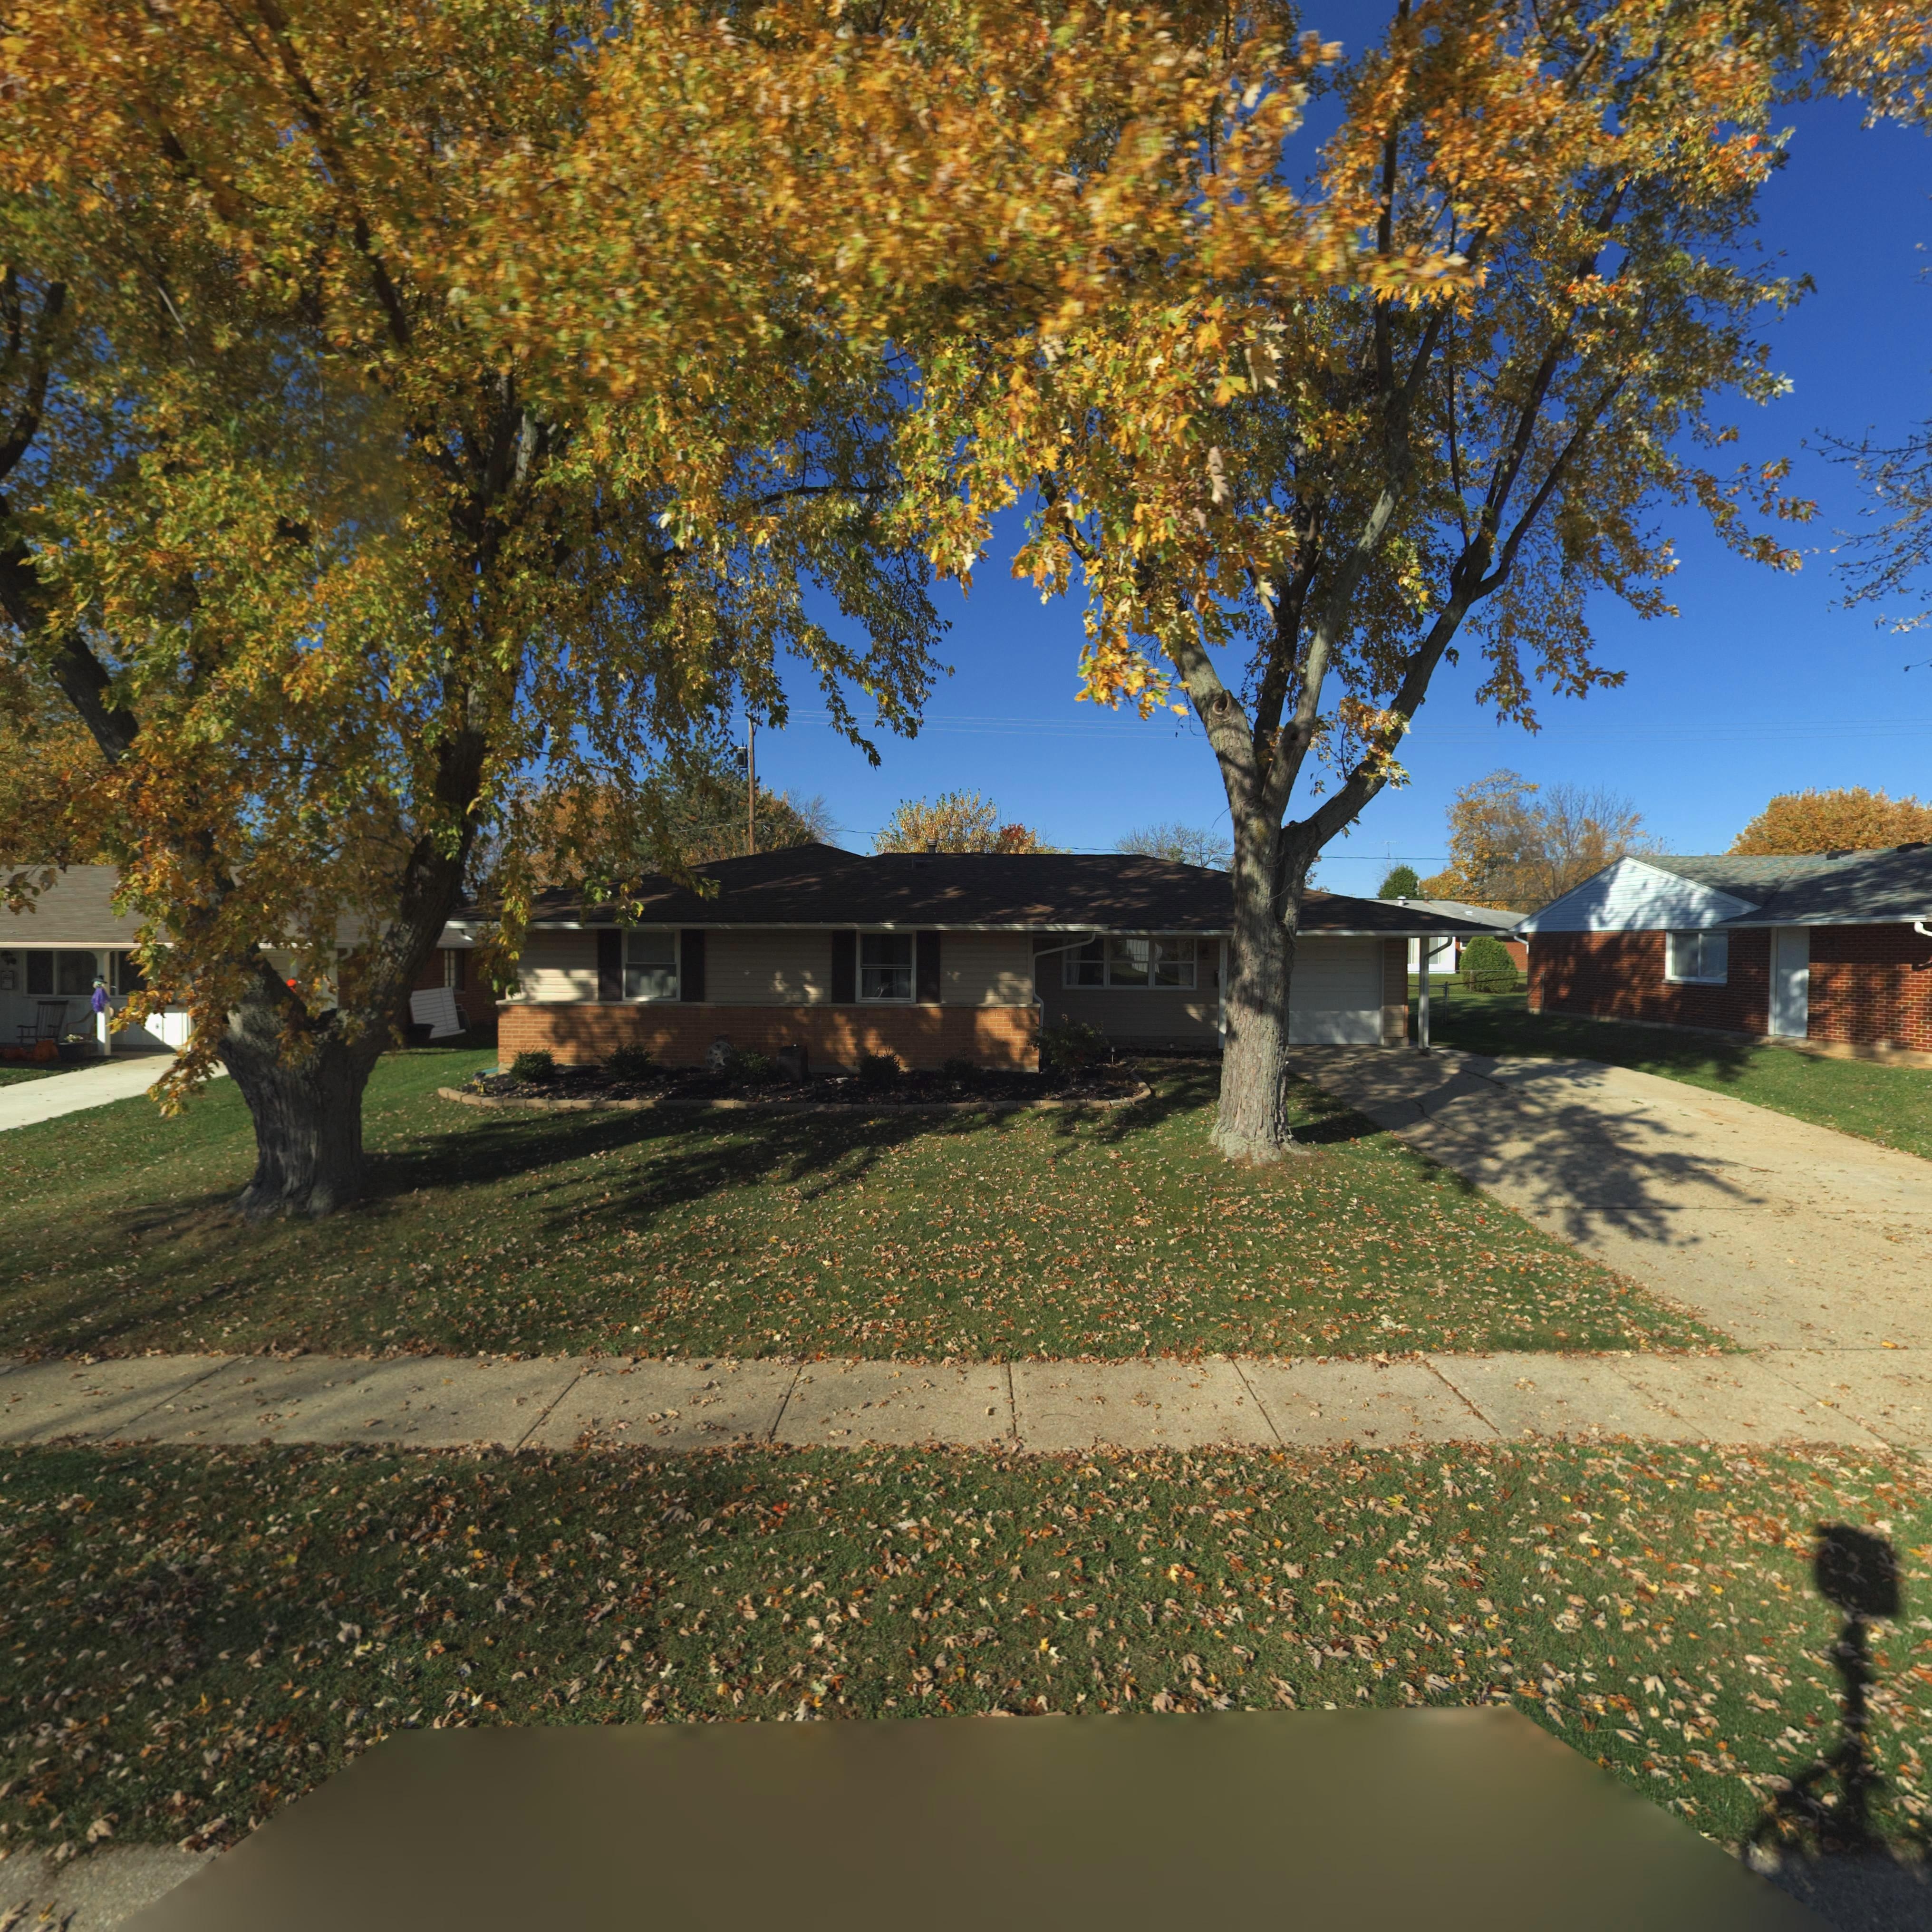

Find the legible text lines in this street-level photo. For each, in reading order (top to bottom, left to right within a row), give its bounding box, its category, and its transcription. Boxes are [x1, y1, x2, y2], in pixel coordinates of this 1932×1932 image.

[1220, 946, 1227, 979] StreetNumber: 7701